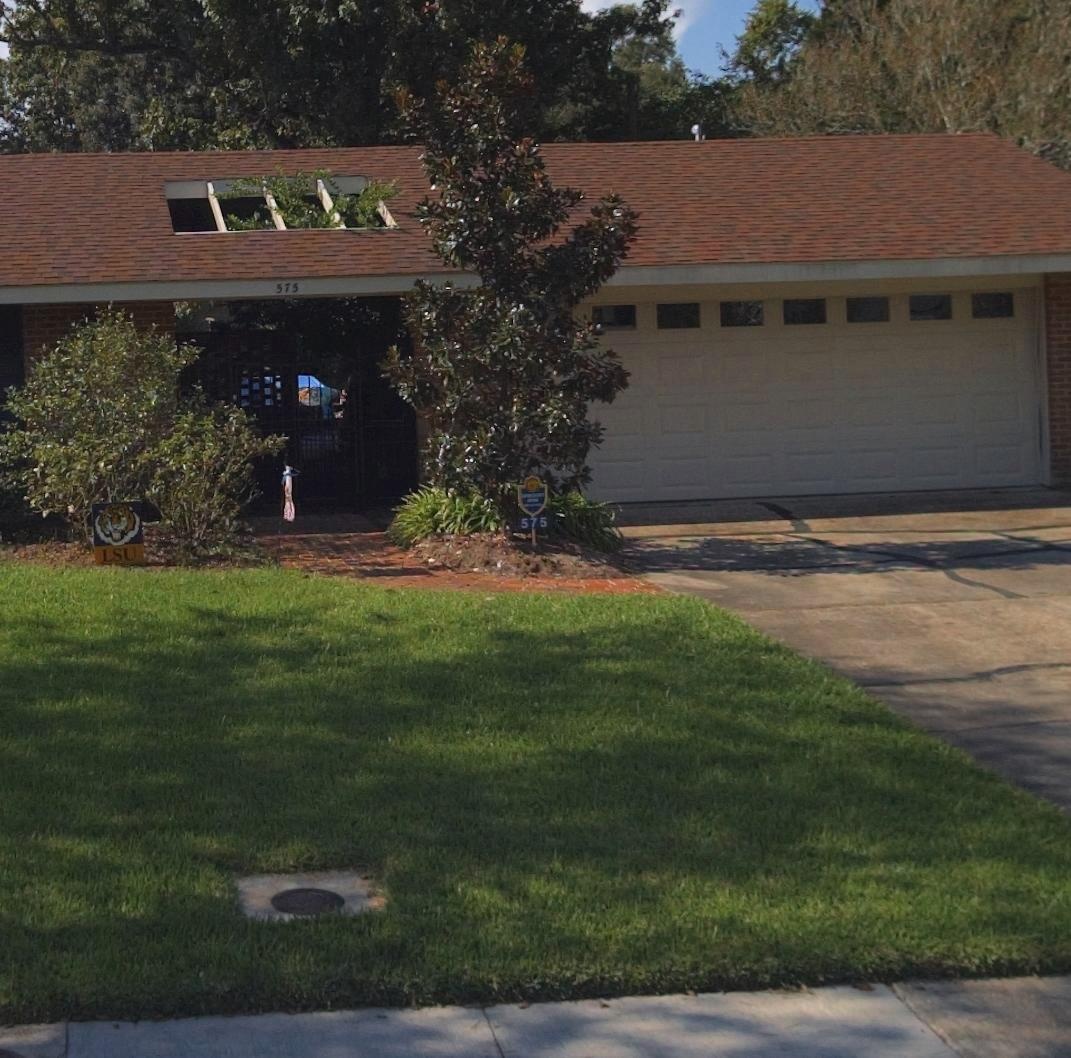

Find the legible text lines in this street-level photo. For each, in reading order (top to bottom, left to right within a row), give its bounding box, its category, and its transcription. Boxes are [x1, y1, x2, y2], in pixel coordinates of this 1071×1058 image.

[276, 283, 299, 293] StreetNumber: 575
[520, 517, 548, 529] StreetNumber: 575
[102, 547, 137, 563] None: LSU